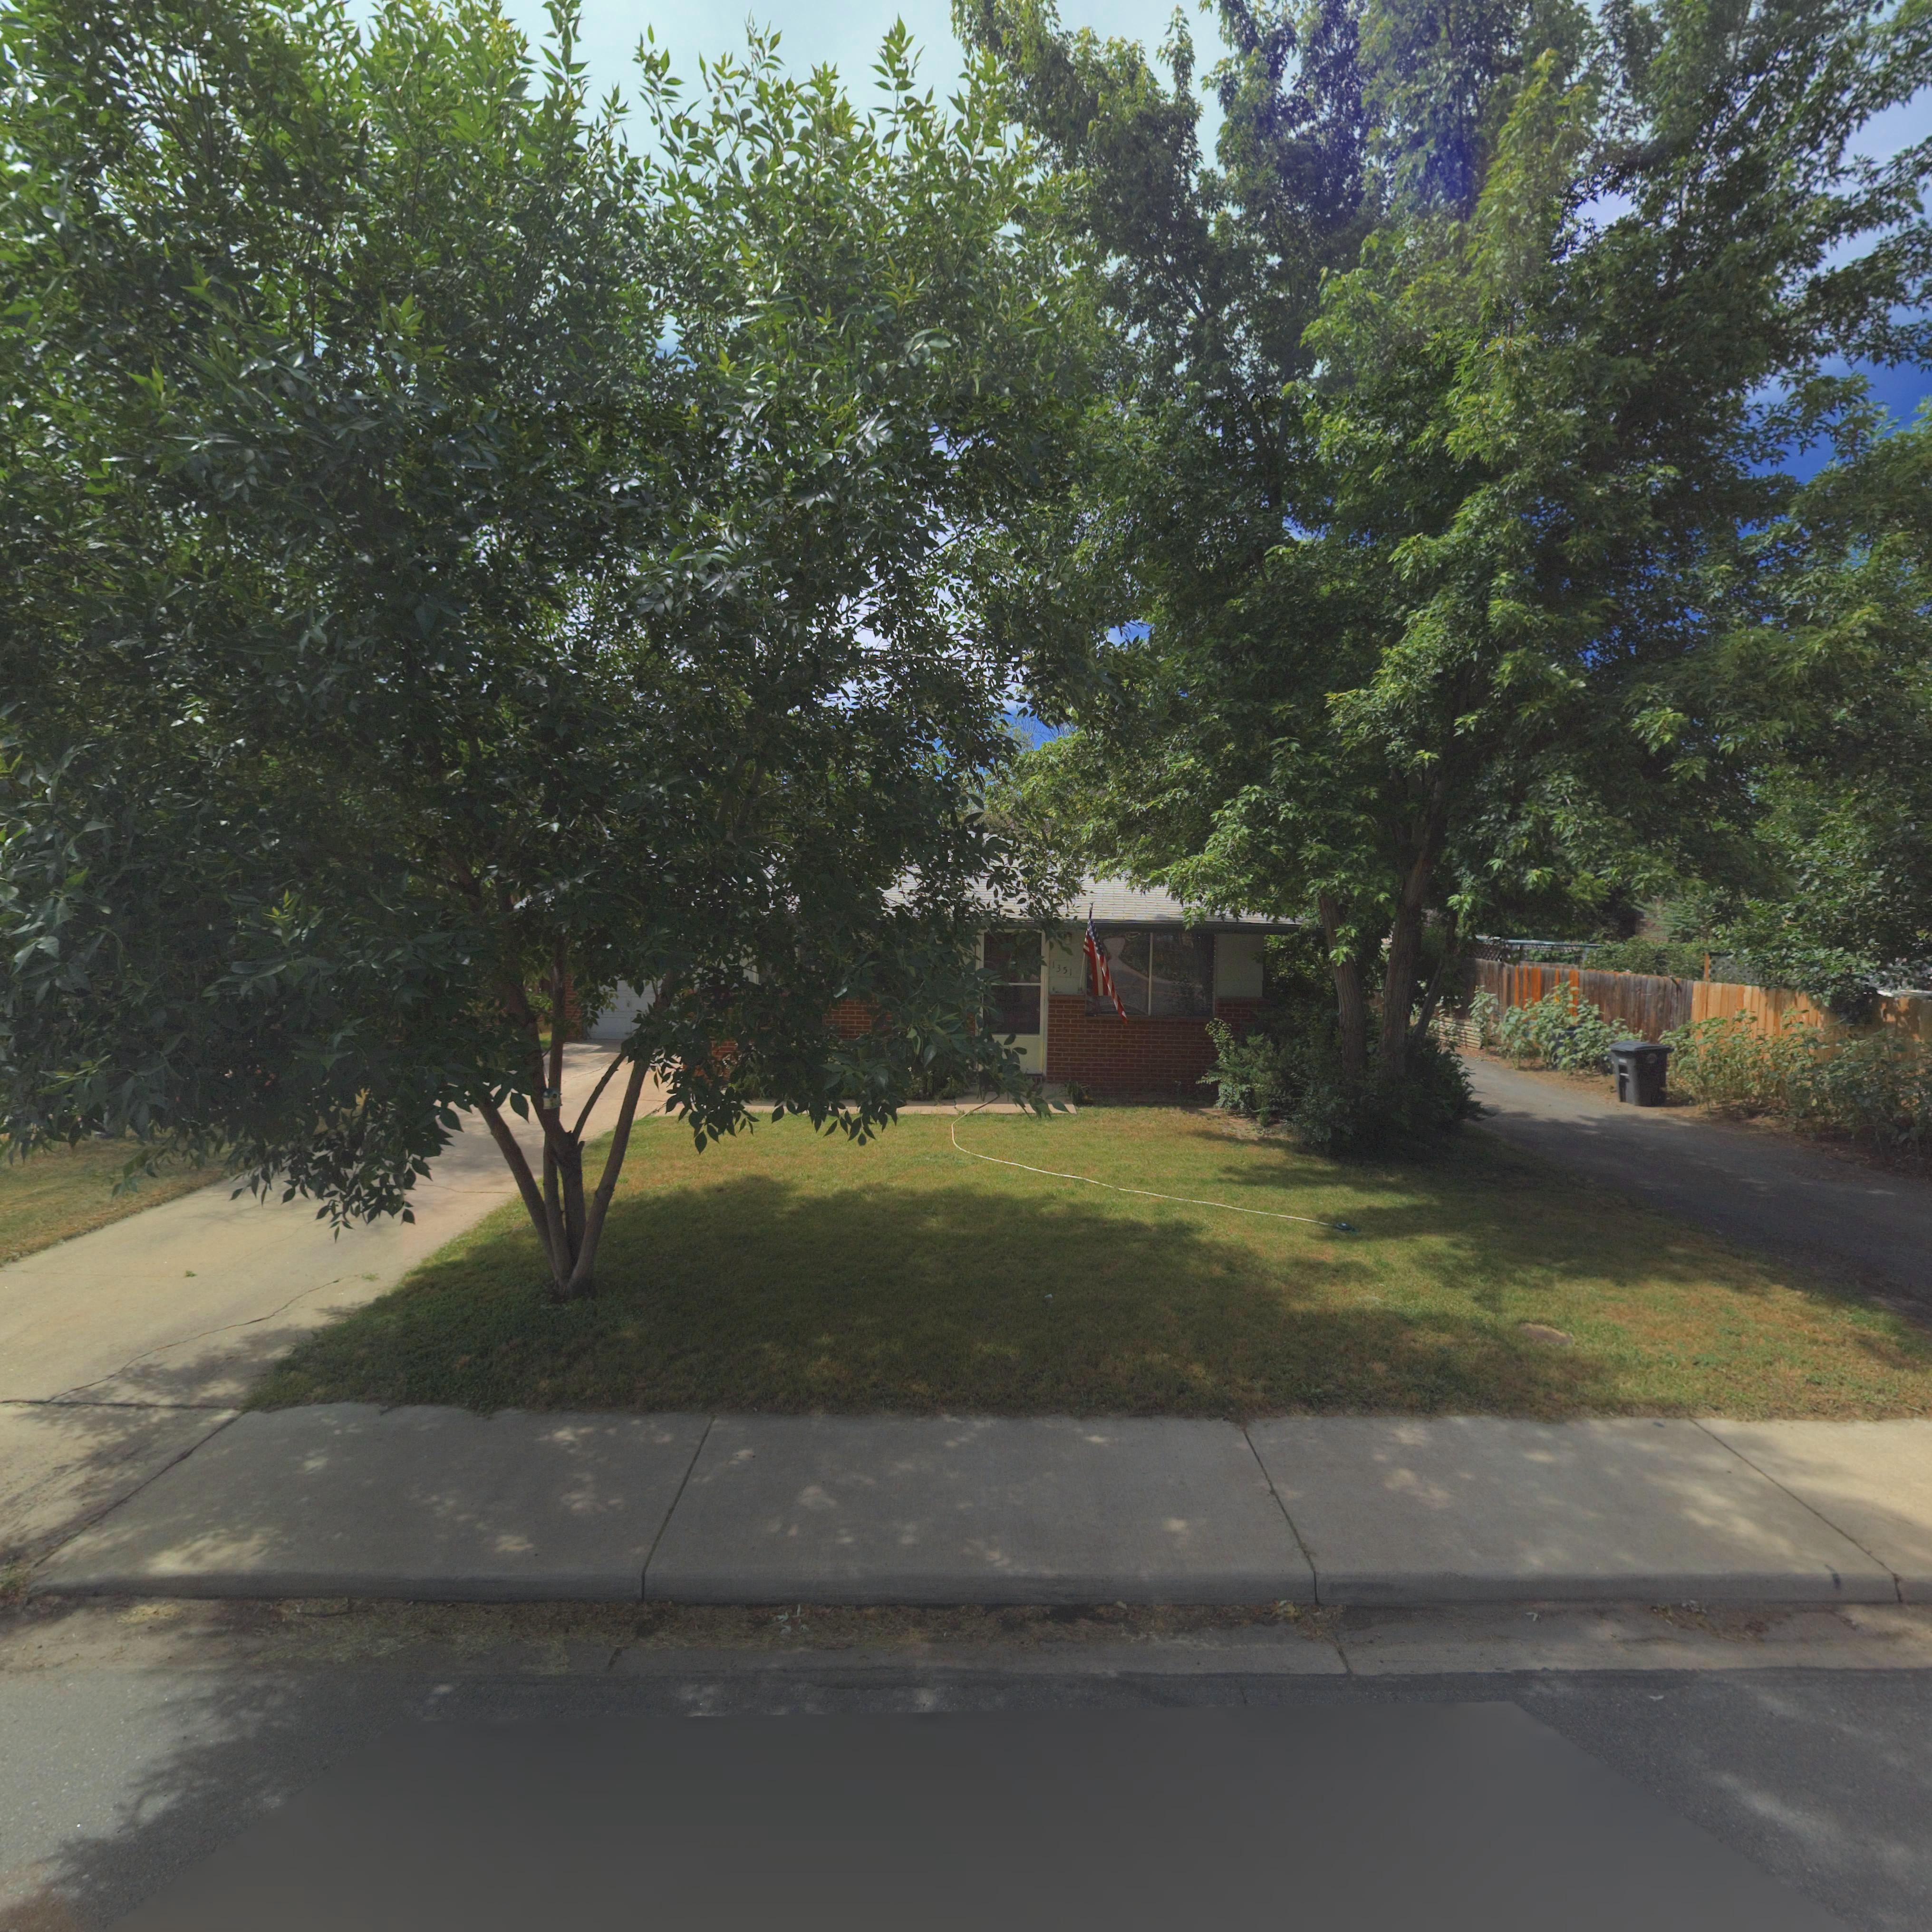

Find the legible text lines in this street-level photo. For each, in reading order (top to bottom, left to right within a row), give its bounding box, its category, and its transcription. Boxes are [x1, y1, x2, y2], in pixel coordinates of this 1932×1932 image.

[1052, 960, 1072, 976] StreetNumber: 1351